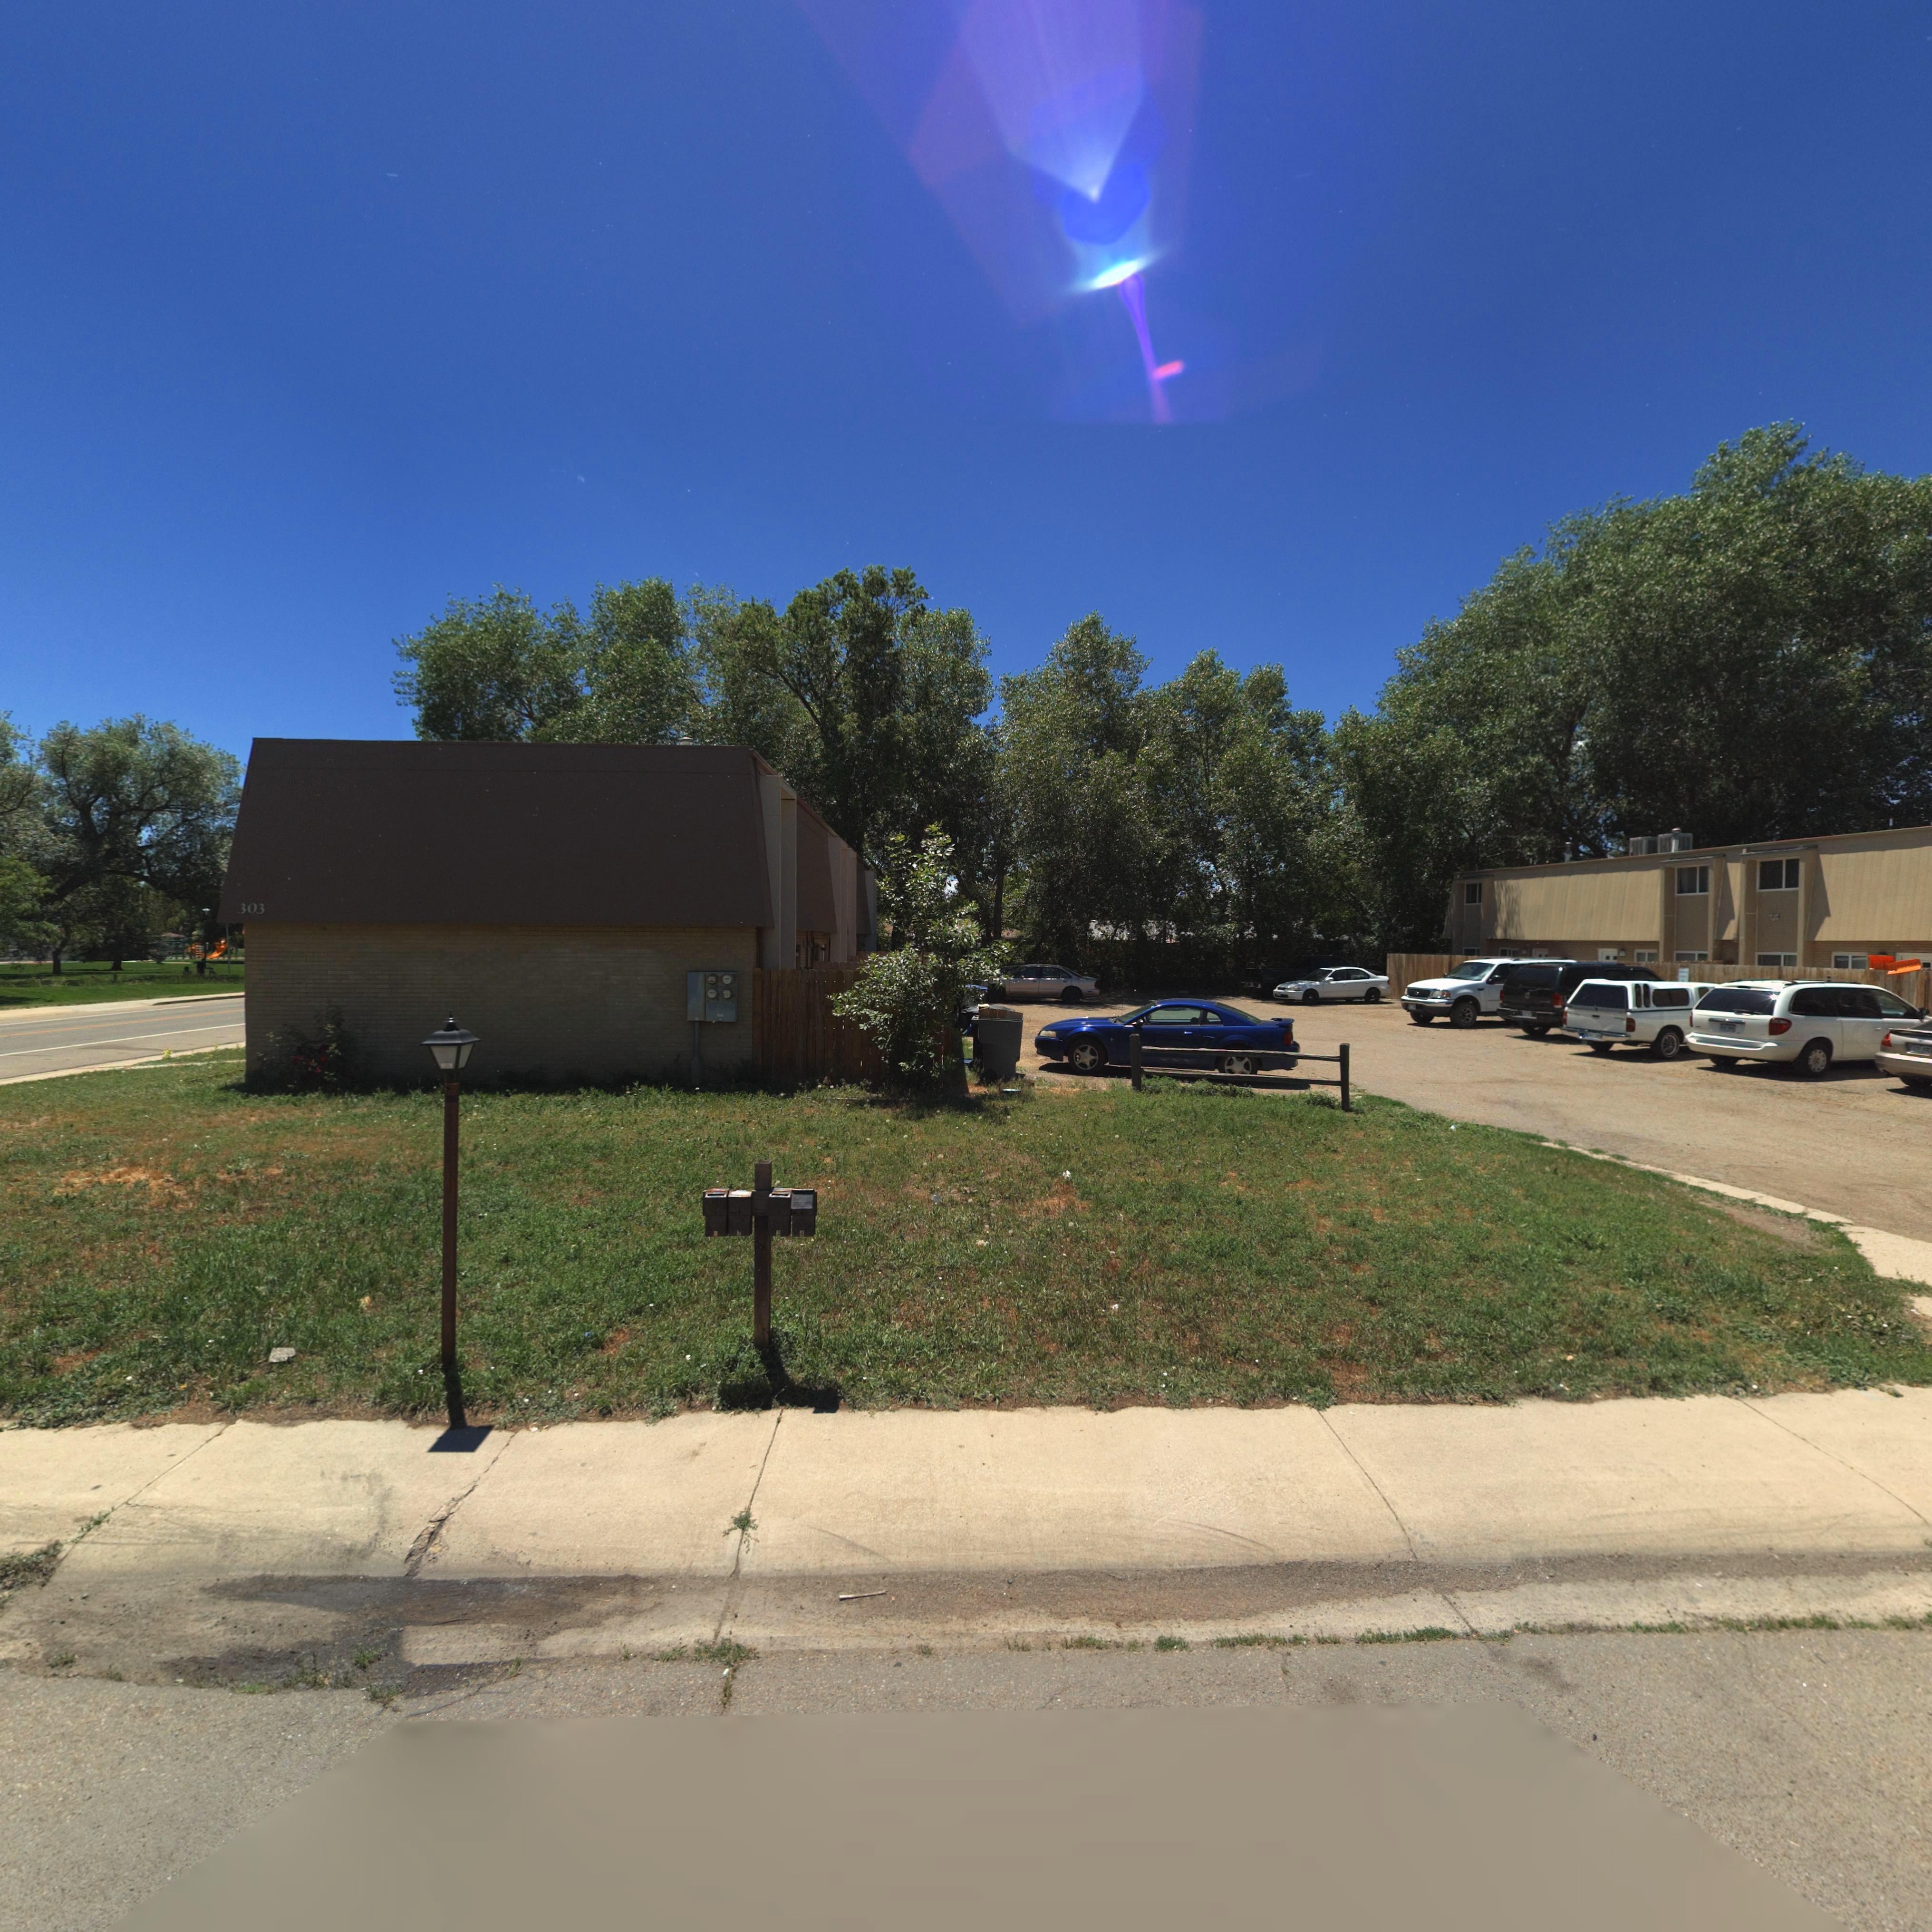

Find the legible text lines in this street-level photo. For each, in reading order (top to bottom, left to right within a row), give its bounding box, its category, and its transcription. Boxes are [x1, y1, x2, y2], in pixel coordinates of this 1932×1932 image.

[237, 902, 265, 915] StreetNumber: 303
[776, 1230, 780, 1236] StreetNumber: 3
[800, 1230, 803, 1236] StreetNumber: 4